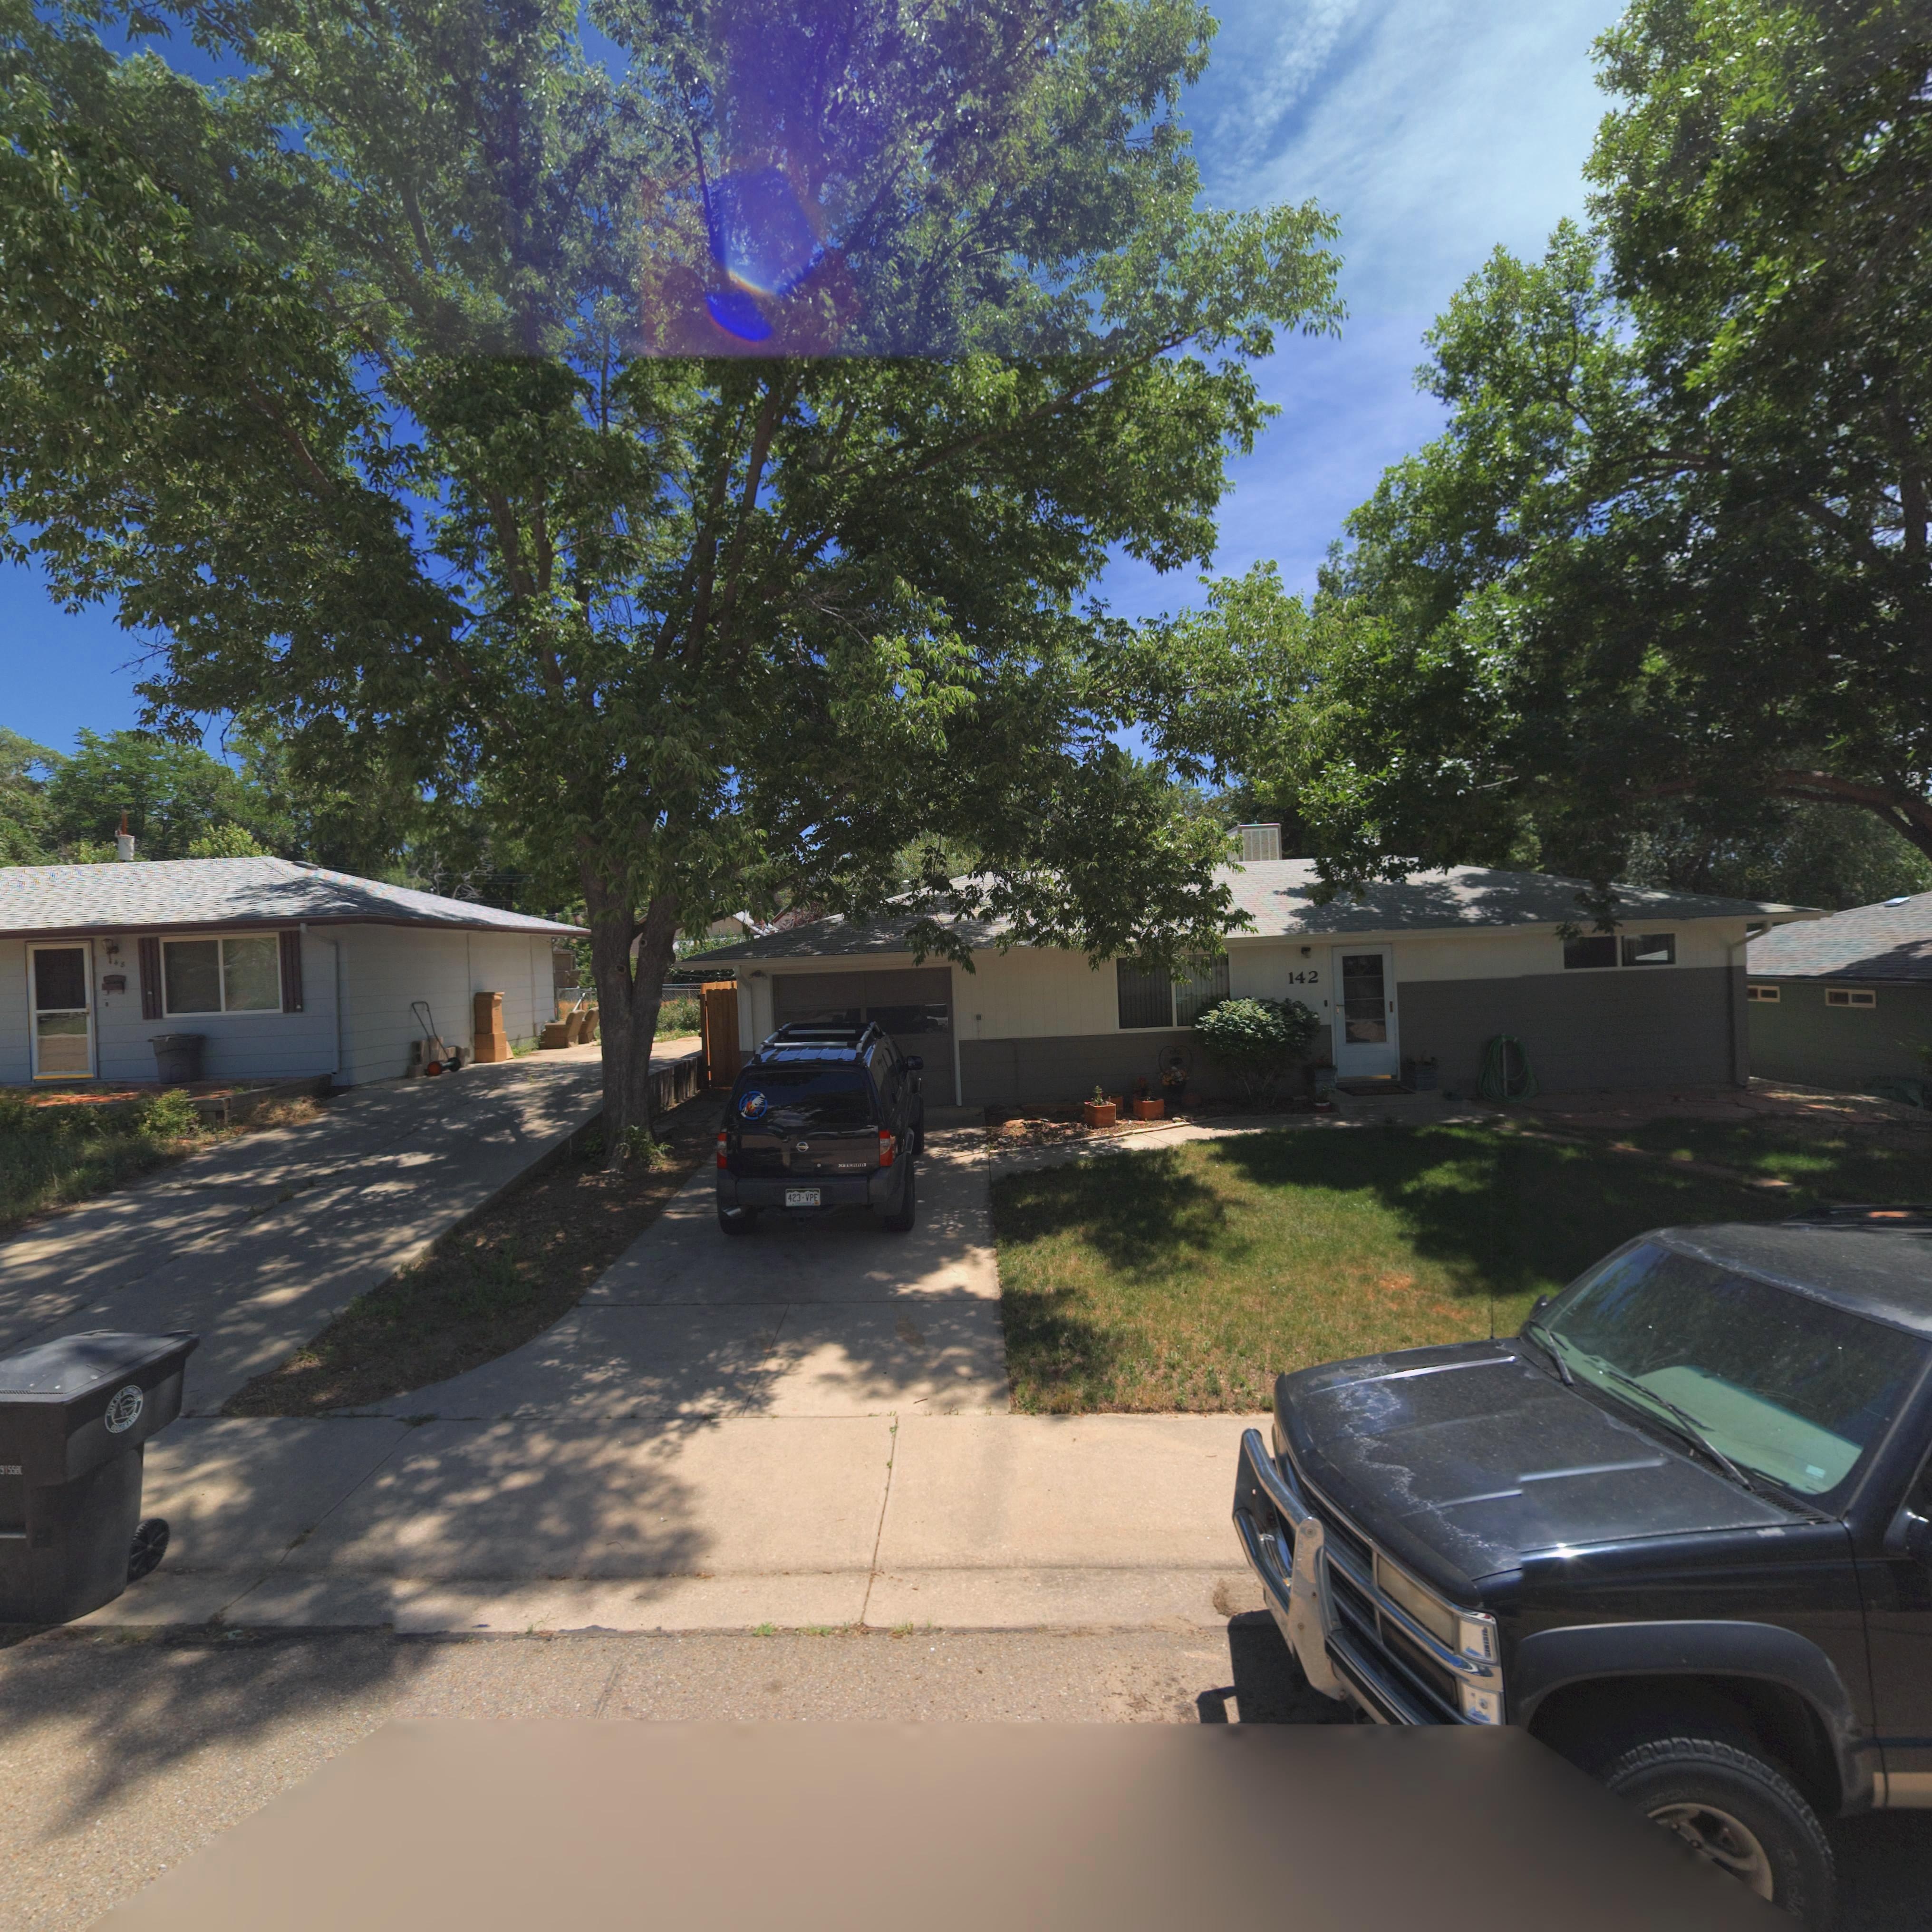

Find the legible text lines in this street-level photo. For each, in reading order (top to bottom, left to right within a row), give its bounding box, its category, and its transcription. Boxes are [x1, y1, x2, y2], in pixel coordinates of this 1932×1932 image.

[108, 957, 126, 968] StreetNumber: 14*
[1288, 970, 1319, 985] StreetNumber: 142